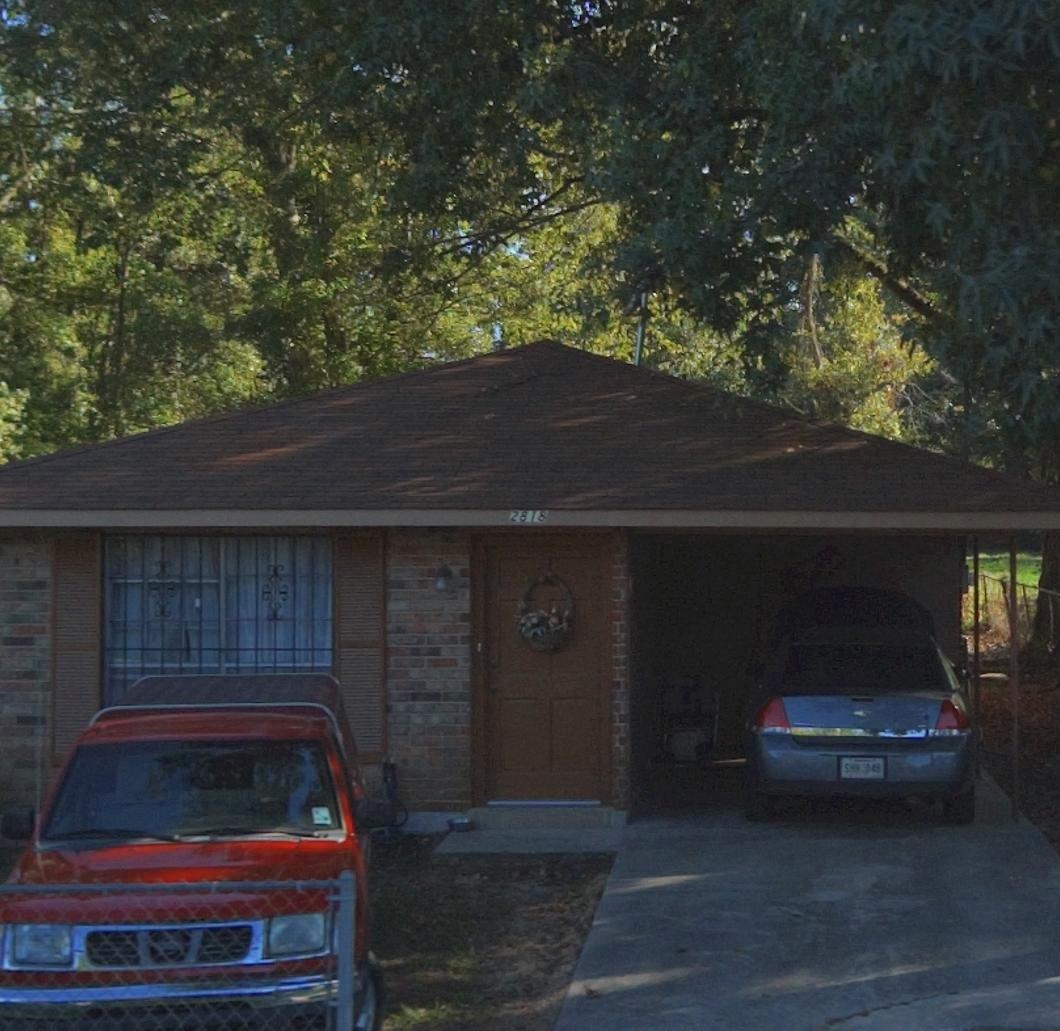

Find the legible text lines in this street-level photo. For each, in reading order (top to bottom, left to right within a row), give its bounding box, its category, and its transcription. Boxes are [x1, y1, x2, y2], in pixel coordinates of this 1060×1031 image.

[509, 509, 548, 523] StreetNumber: 2818
[843, 762, 882, 774] None: SHH*048